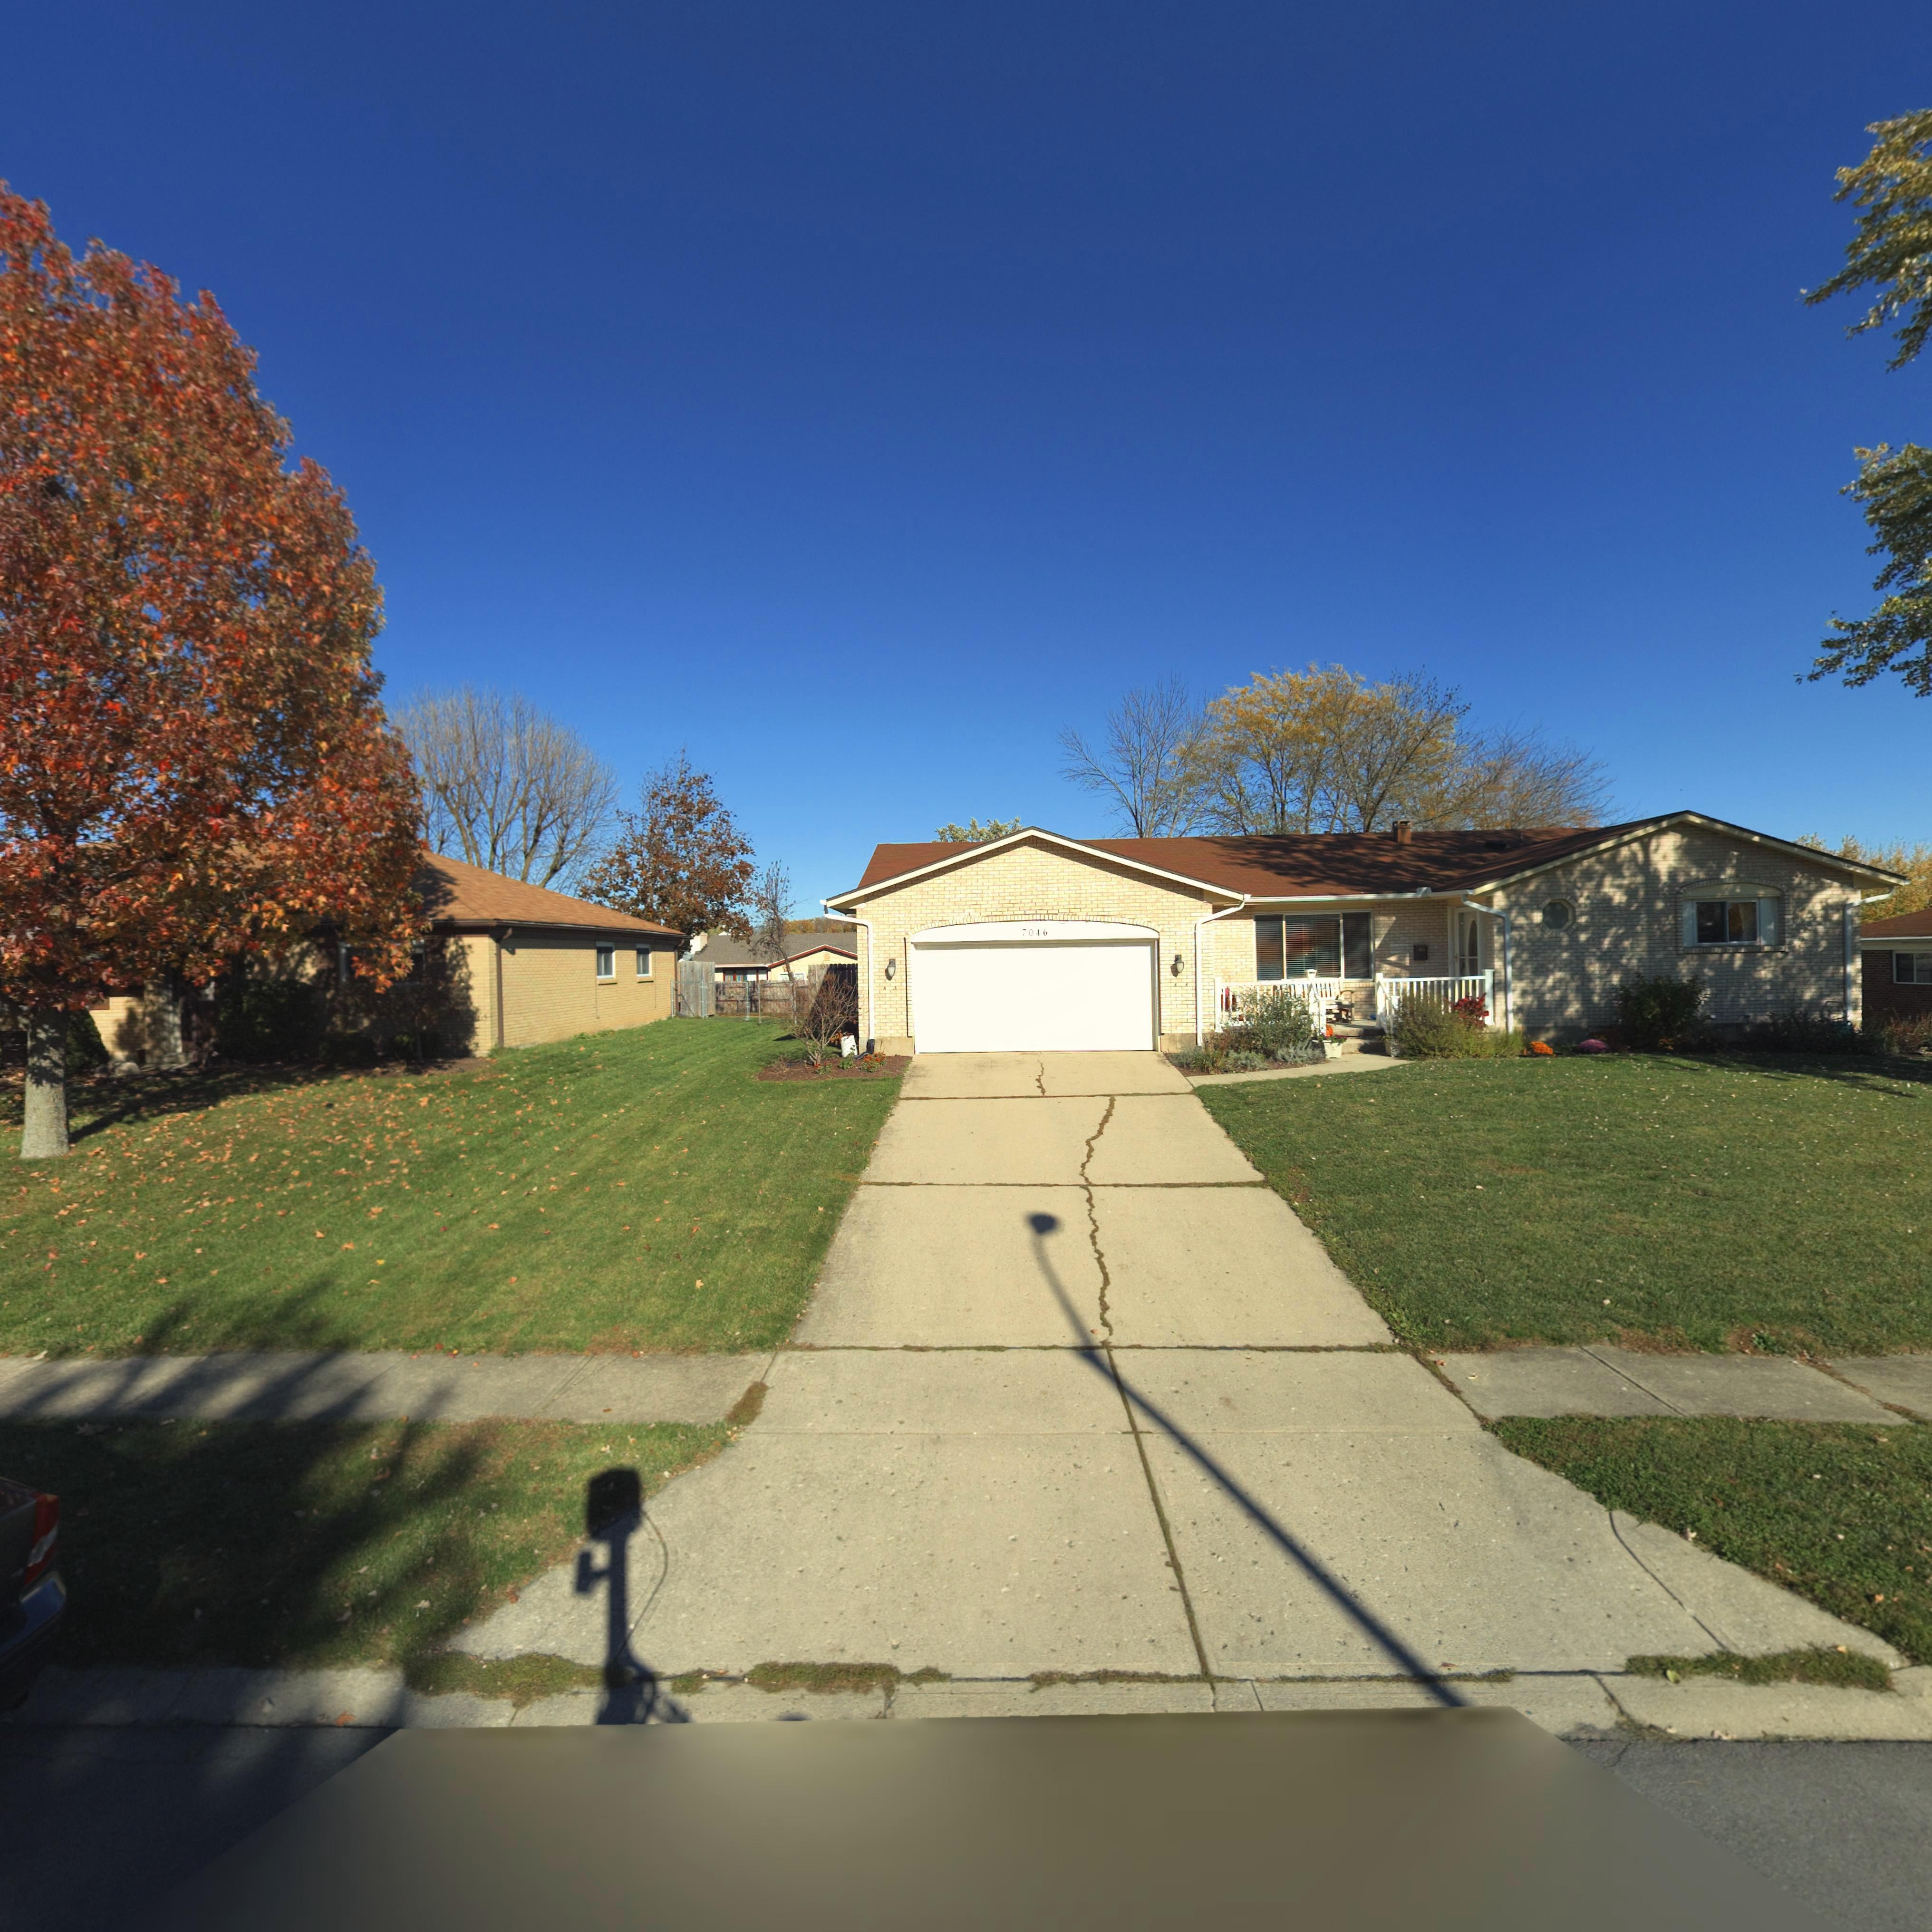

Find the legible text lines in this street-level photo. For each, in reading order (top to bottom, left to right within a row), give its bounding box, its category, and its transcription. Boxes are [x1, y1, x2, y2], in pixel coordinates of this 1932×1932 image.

[1022, 928, 1048, 937] StreetNumber: 7046